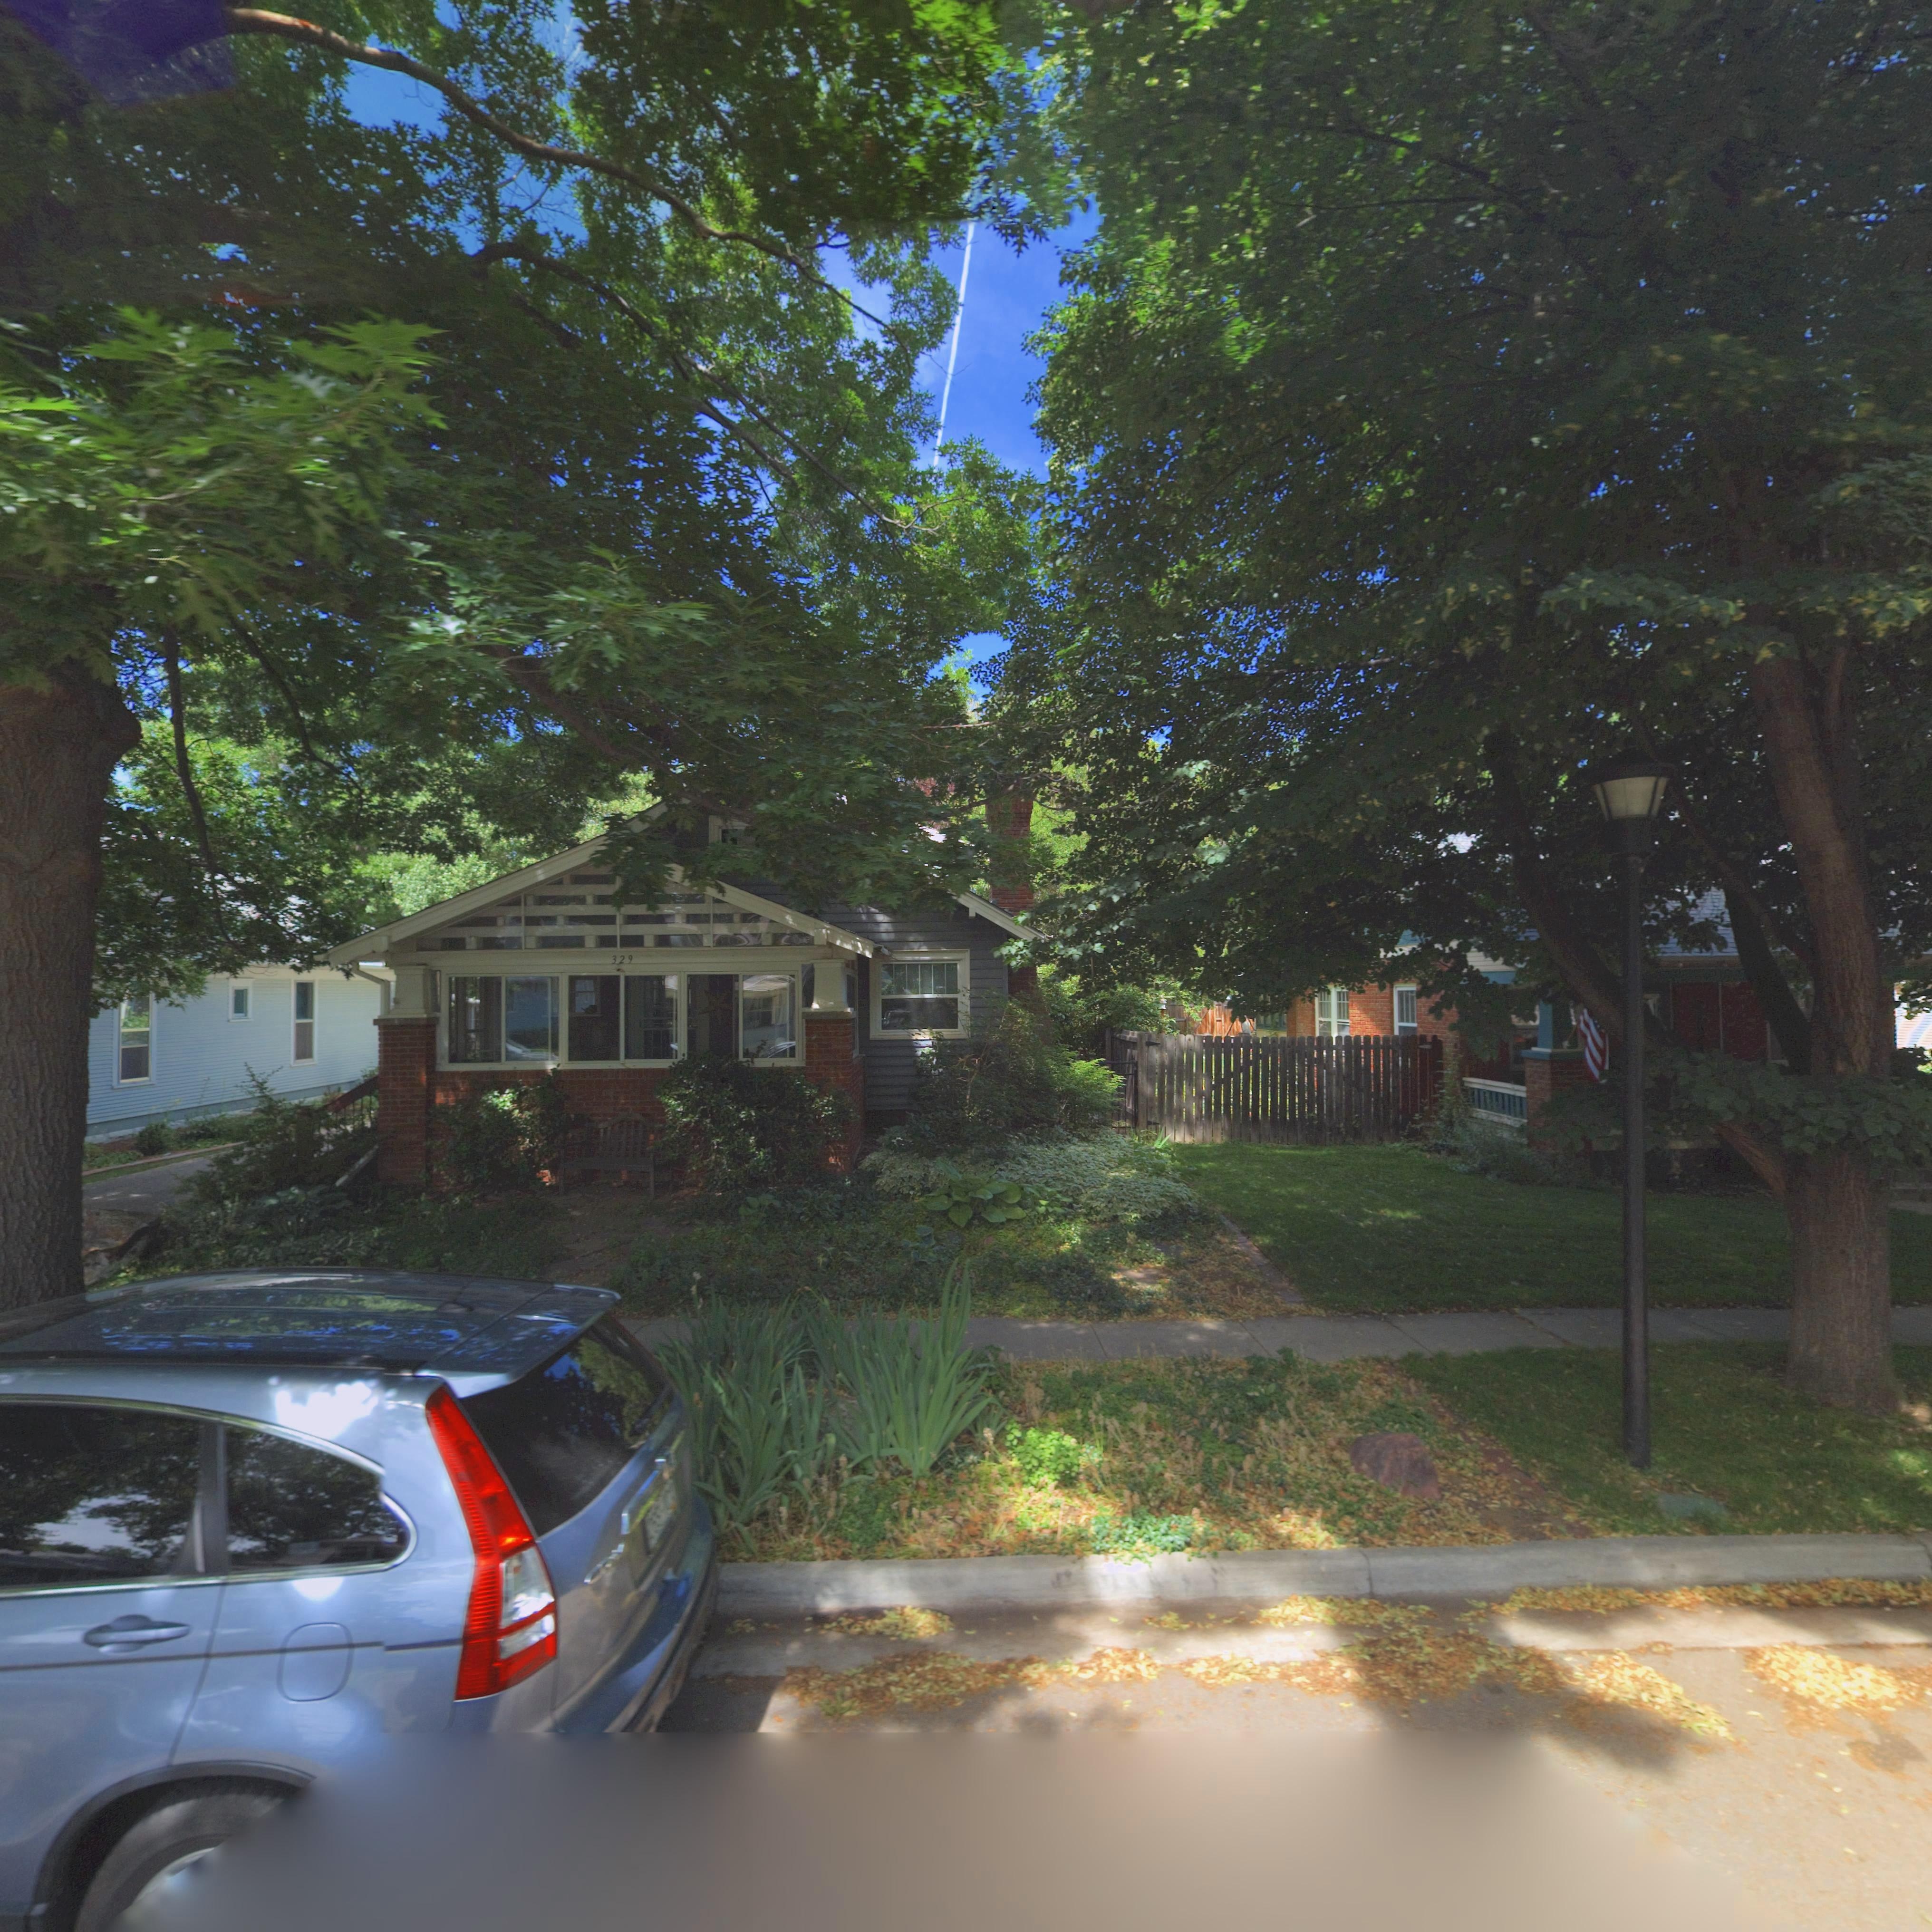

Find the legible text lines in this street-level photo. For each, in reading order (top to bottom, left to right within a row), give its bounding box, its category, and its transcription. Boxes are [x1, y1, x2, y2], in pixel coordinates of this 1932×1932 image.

[611, 954, 633, 964] StreetNumber: 329